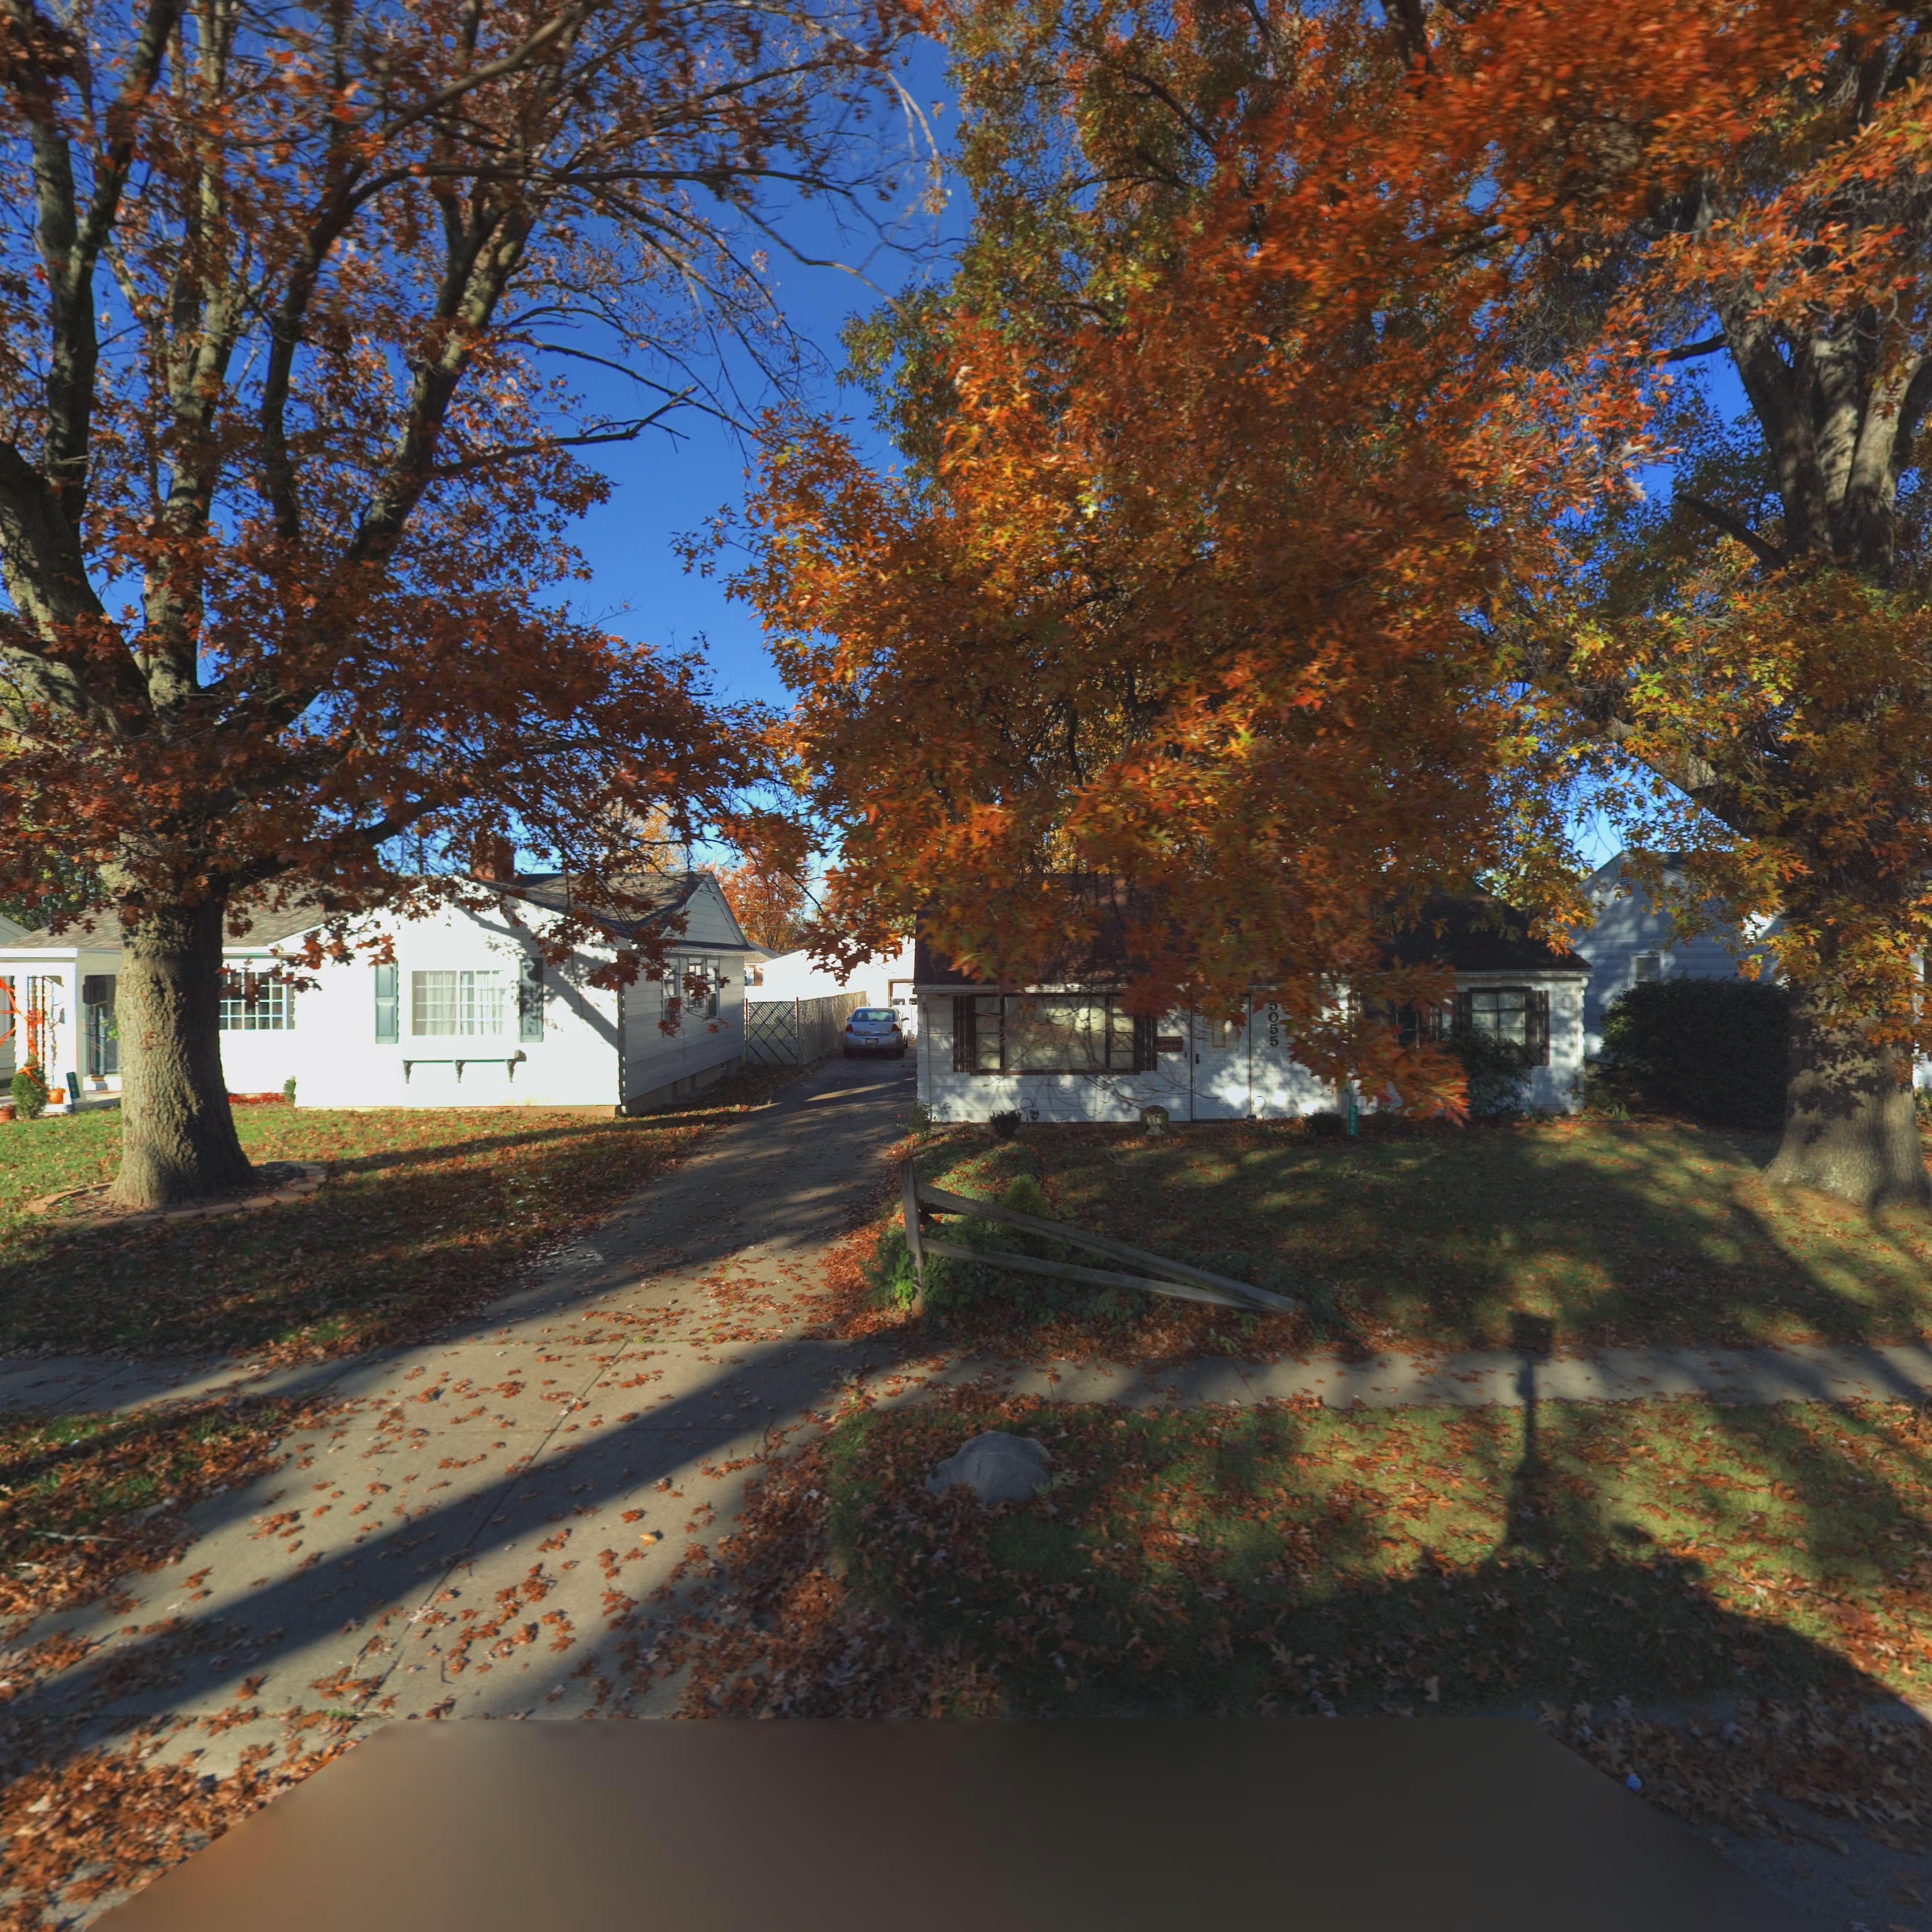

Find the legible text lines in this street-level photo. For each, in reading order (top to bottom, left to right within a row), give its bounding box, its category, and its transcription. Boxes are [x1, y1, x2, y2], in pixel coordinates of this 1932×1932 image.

[1268, 999, 1279, 1047] StreetNumber: 5055
[1349, 1106, 1356, 1135] StreetNumber: 5055